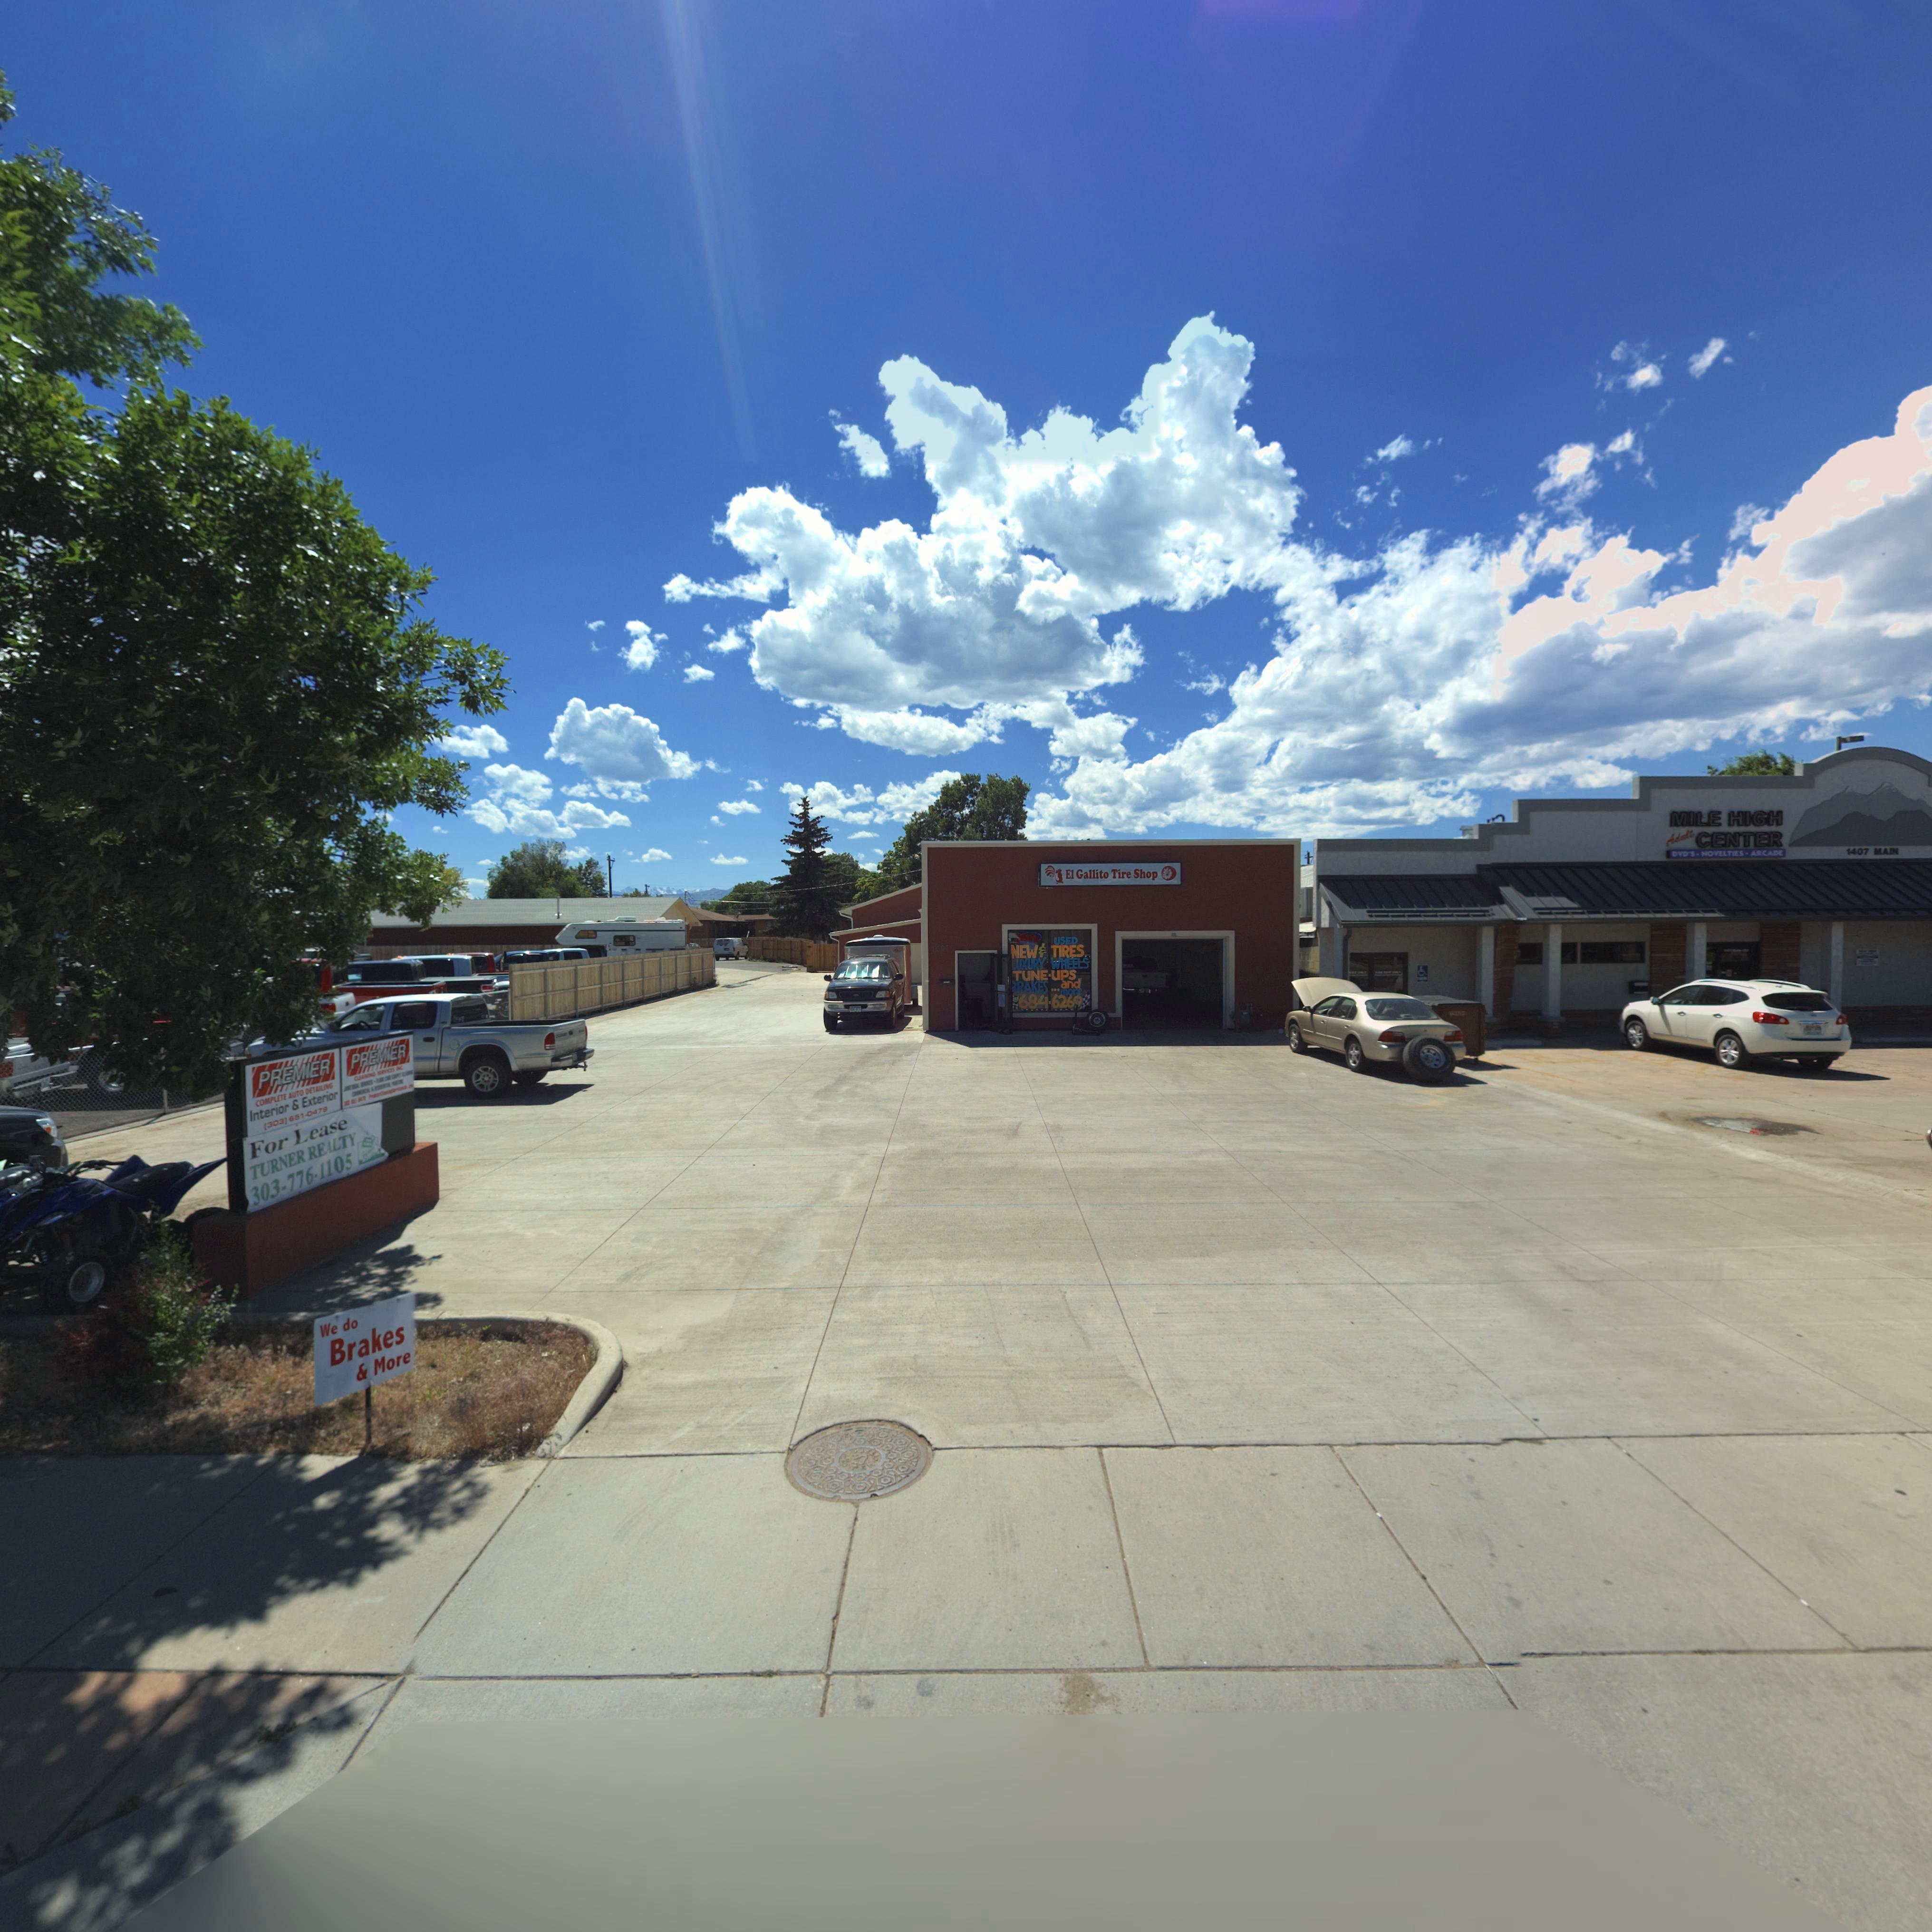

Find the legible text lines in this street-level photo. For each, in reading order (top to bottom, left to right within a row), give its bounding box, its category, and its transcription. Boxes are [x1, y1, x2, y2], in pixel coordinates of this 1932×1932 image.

[1670, 810, 1783, 826] BusinessName: MILE HIGH
[1666, 828, 1695, 847] BusinessName: Adult
[1696, 831, 1784, 847] BusinessName: CENTER
[1845, 847, 1869, 855] StreetNumber: 1407
[1874, 847, 1899, 855] StreetName: MAIN
[1065, 869, 1159, 881] BusinessName: El Gallito Tire Shop
[350, 1043, 406, 1070] BusinessName: PREMIER
[258, 1058, 330, 1089] BusinessName: PREMIER